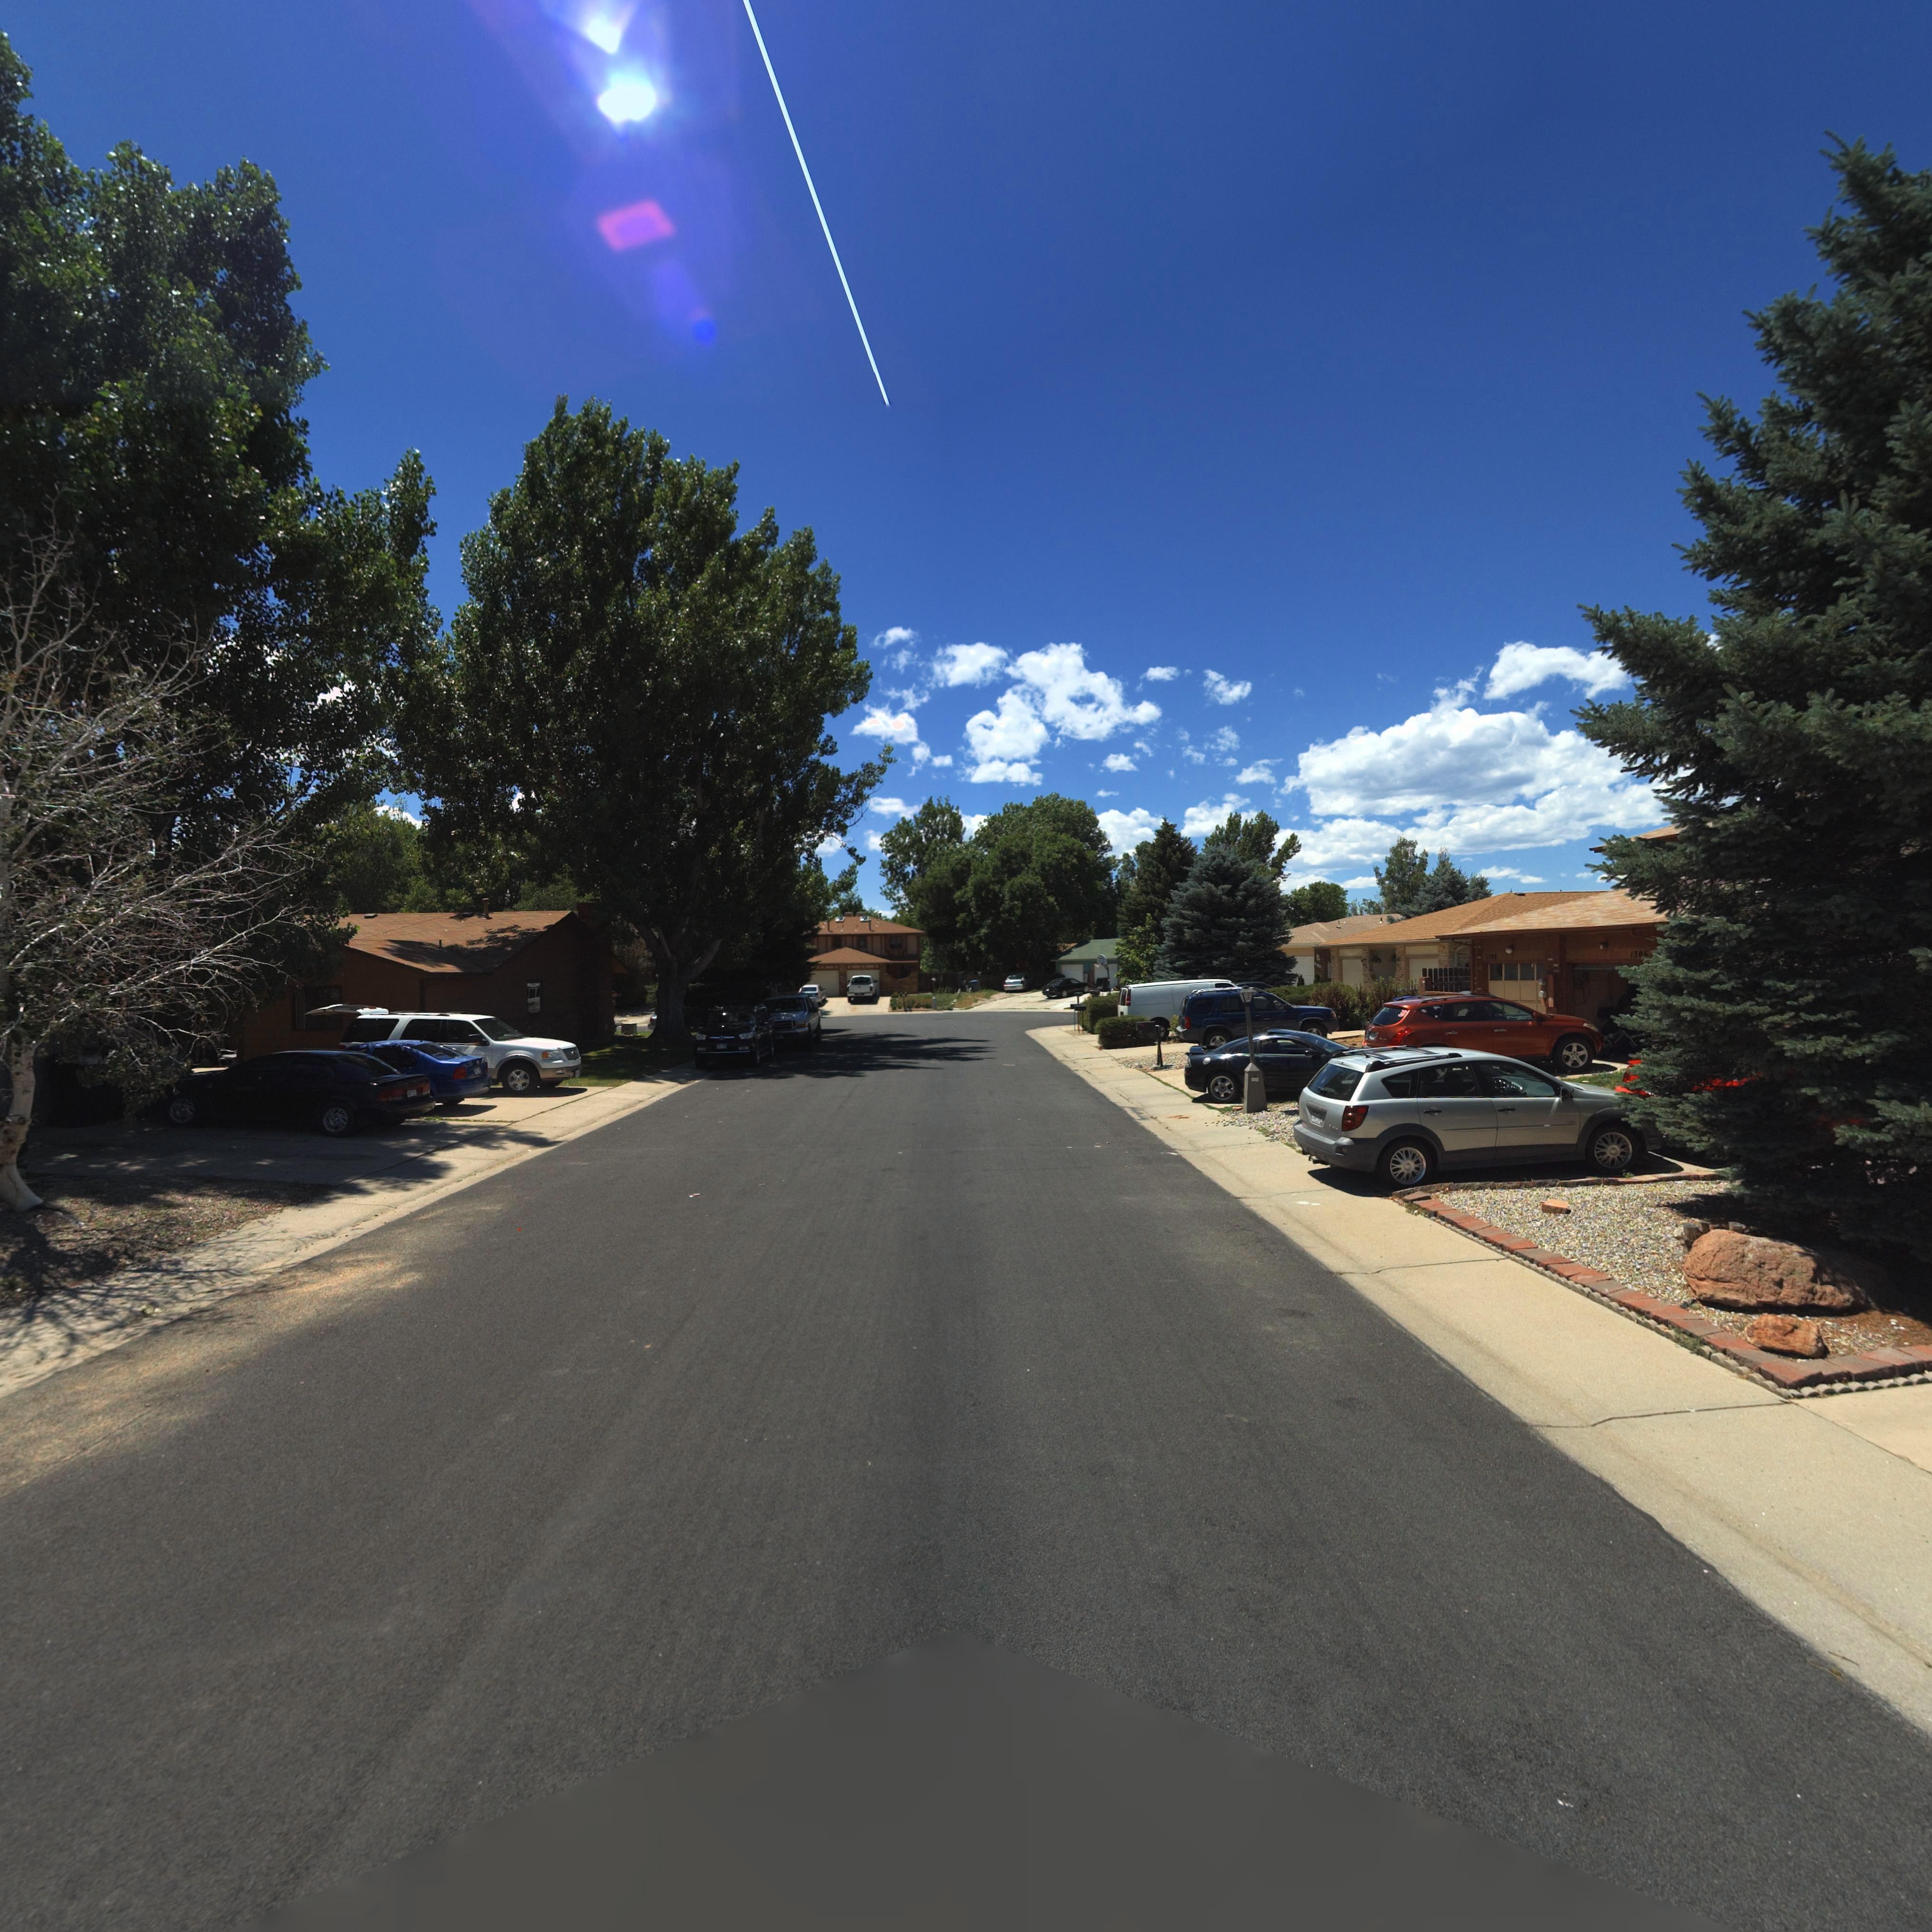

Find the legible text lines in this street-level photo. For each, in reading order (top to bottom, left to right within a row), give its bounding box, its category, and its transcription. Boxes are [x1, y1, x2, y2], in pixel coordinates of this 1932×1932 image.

[1486, 953, 1497, 959] StreetNumber: 13**
[1629, 950, 1649, 958] StreetNumber: 1306